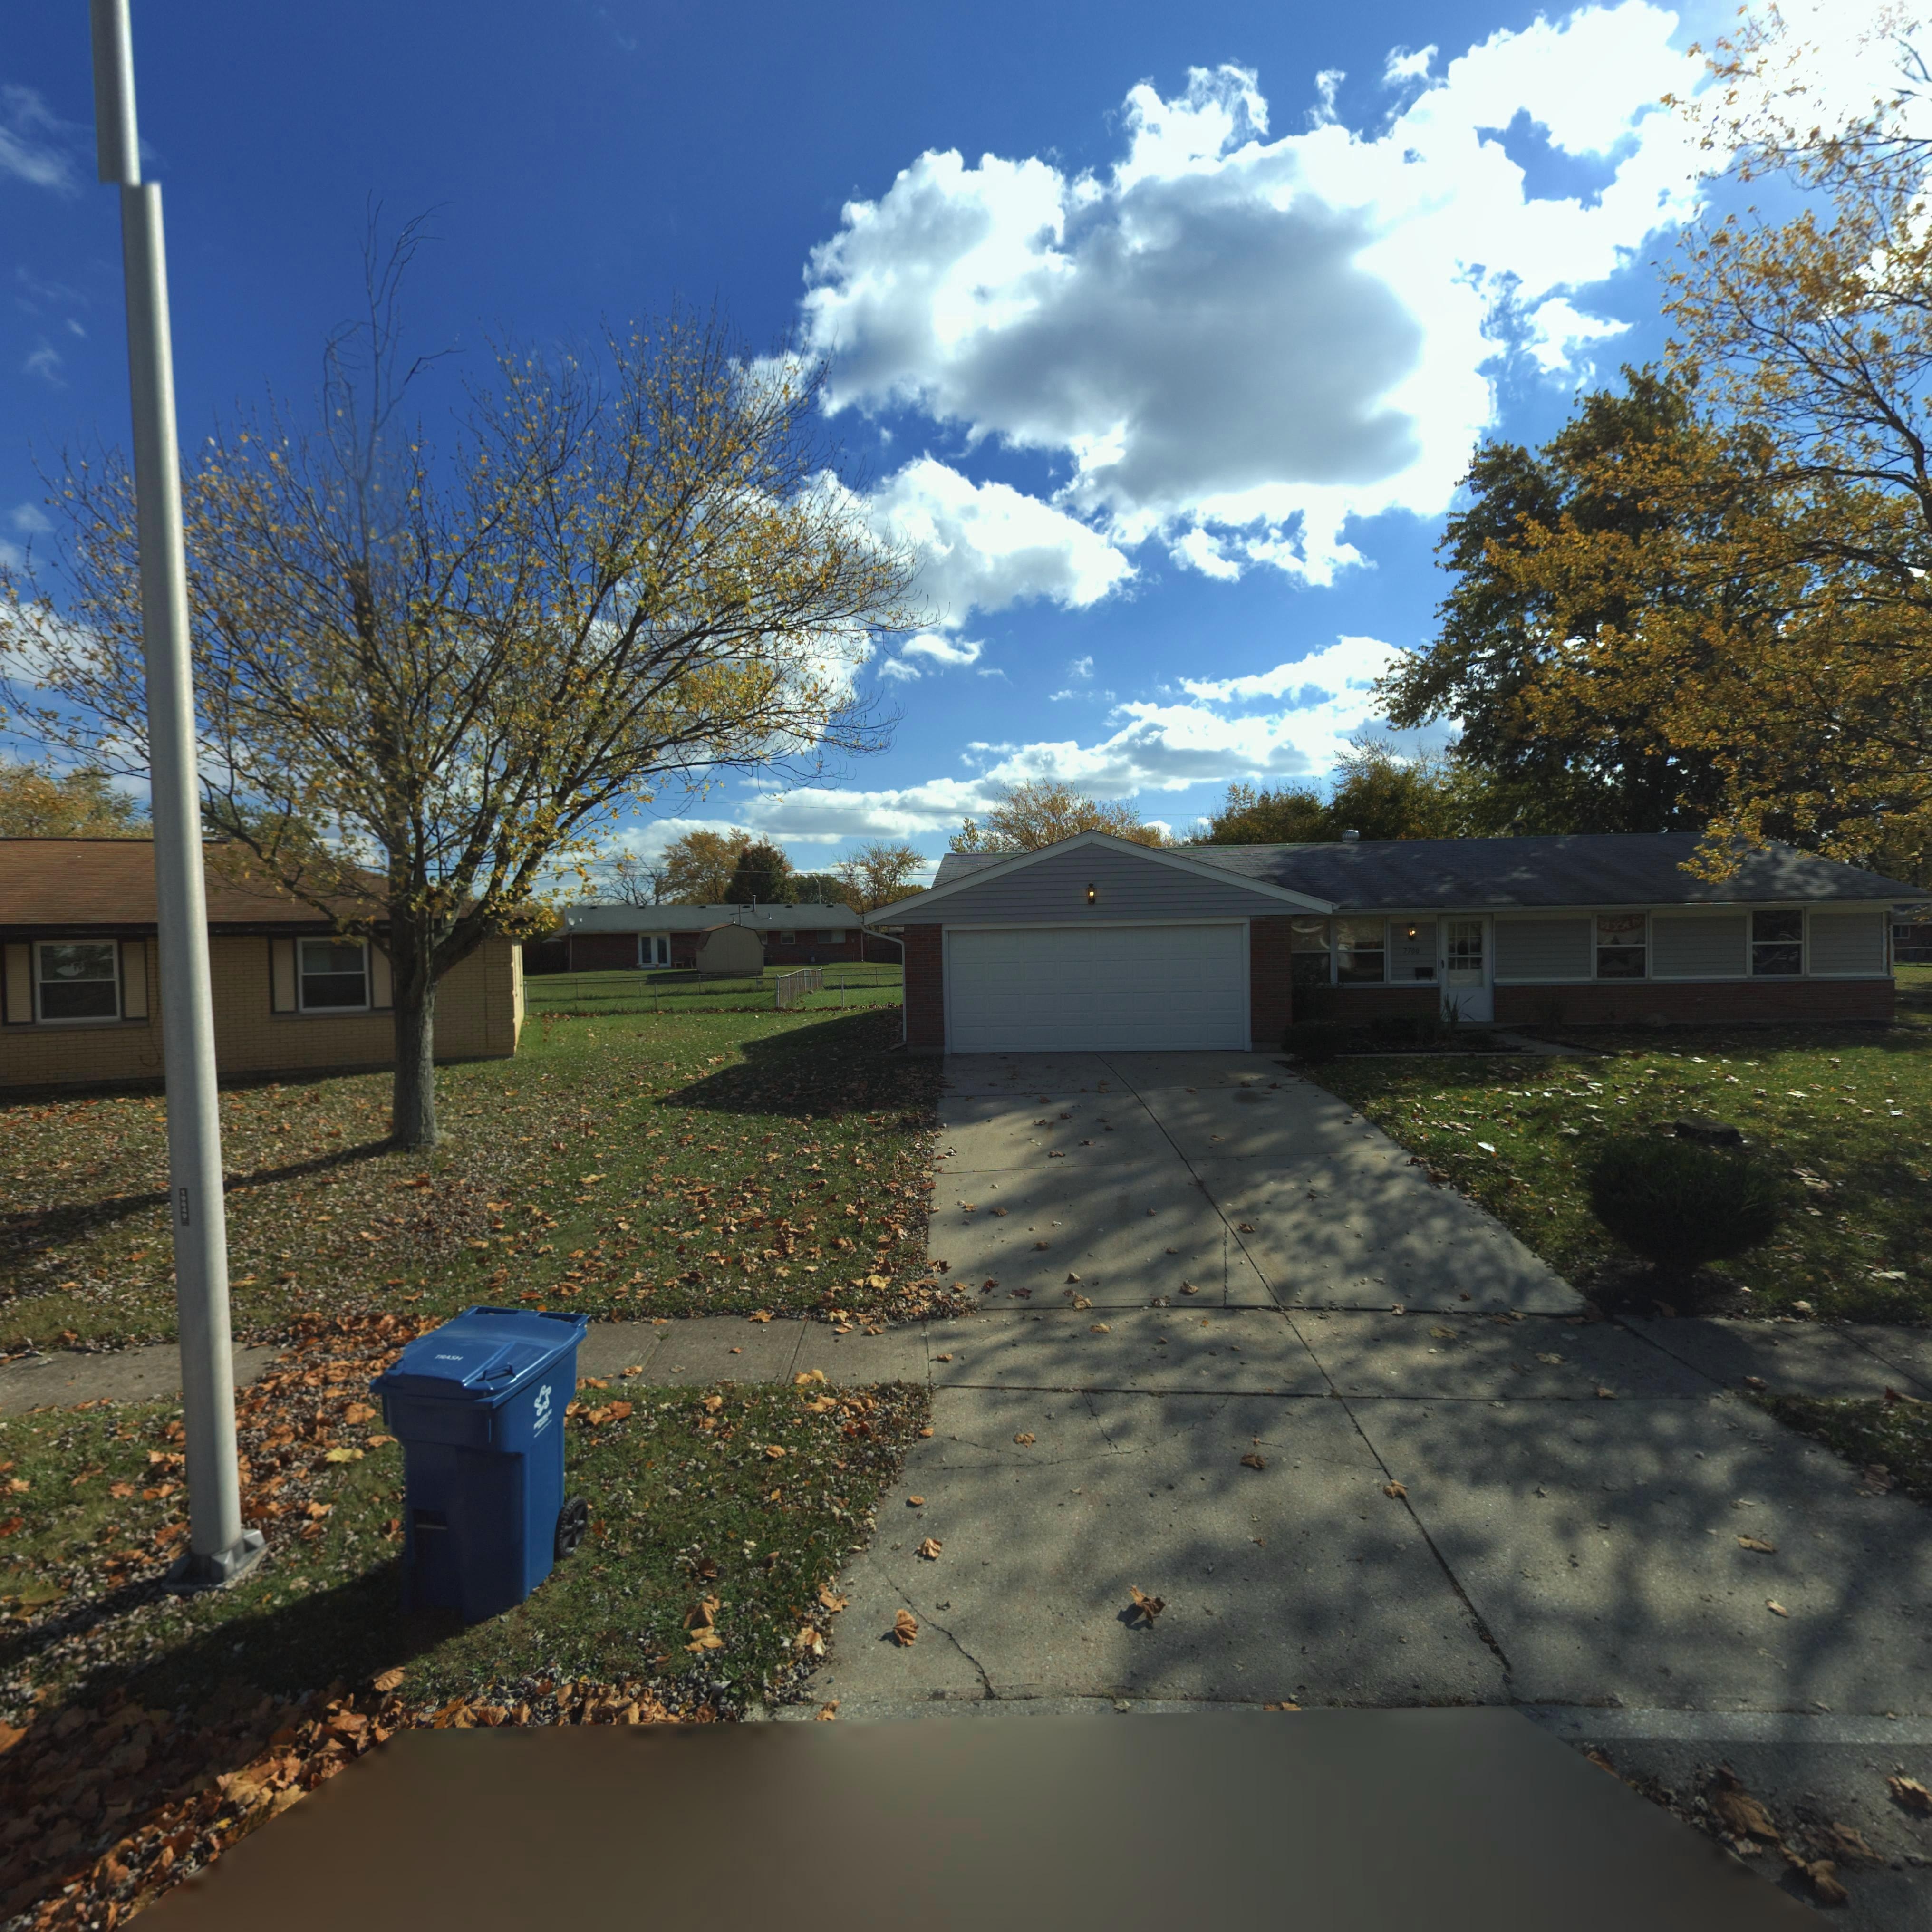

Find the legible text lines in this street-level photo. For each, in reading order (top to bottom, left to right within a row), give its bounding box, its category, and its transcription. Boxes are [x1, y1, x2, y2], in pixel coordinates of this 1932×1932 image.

[1402, 947, 1420, 955] StreetNumber: 7700